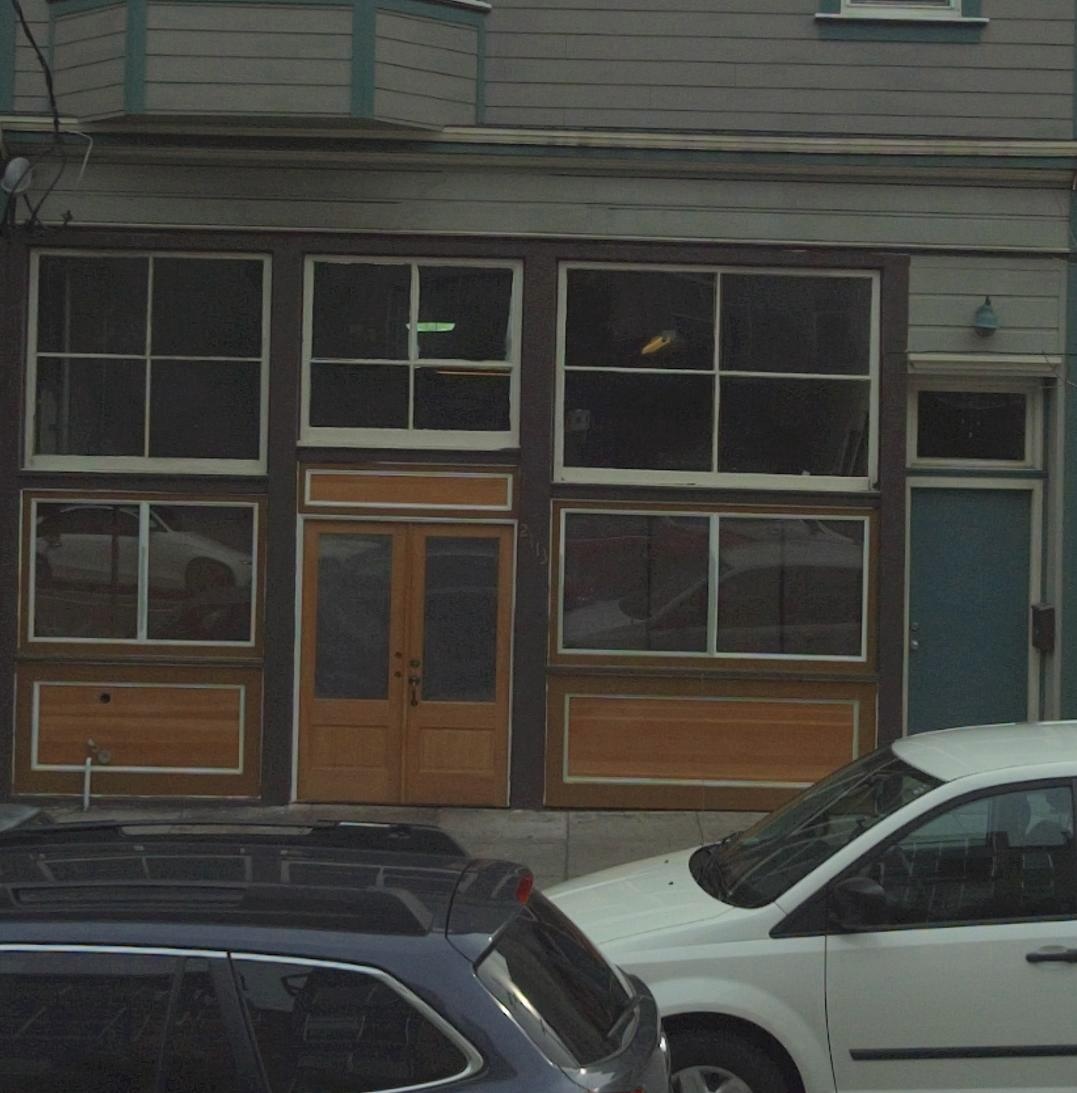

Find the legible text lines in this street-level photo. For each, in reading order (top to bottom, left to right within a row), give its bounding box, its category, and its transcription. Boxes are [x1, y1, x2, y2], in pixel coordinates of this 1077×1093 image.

[518, 522, 549, 565] StreetNumber: 2413